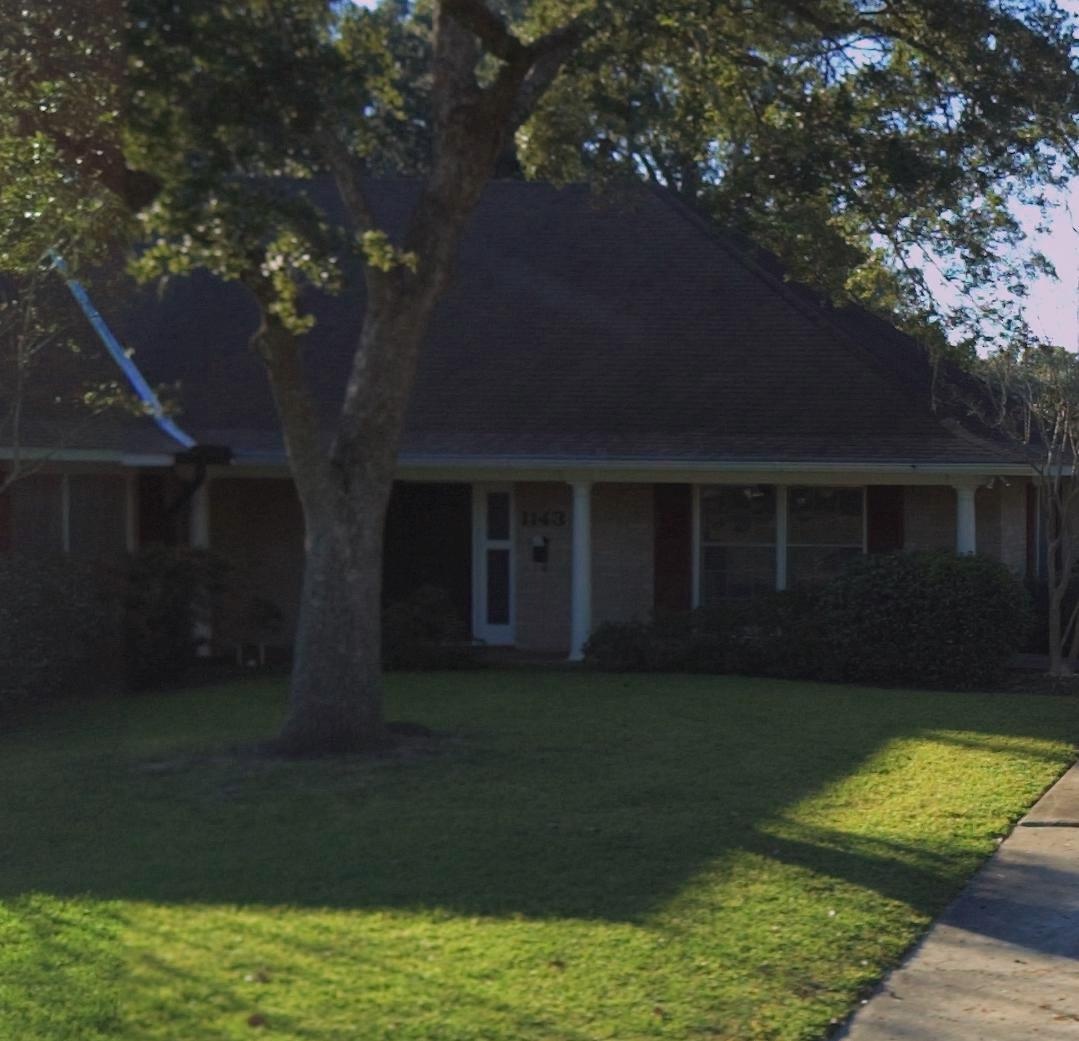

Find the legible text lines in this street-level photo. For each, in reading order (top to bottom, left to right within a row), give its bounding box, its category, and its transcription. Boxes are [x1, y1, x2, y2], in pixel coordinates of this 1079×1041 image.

[521, 510, 567, 528] StreetNumber: 1143